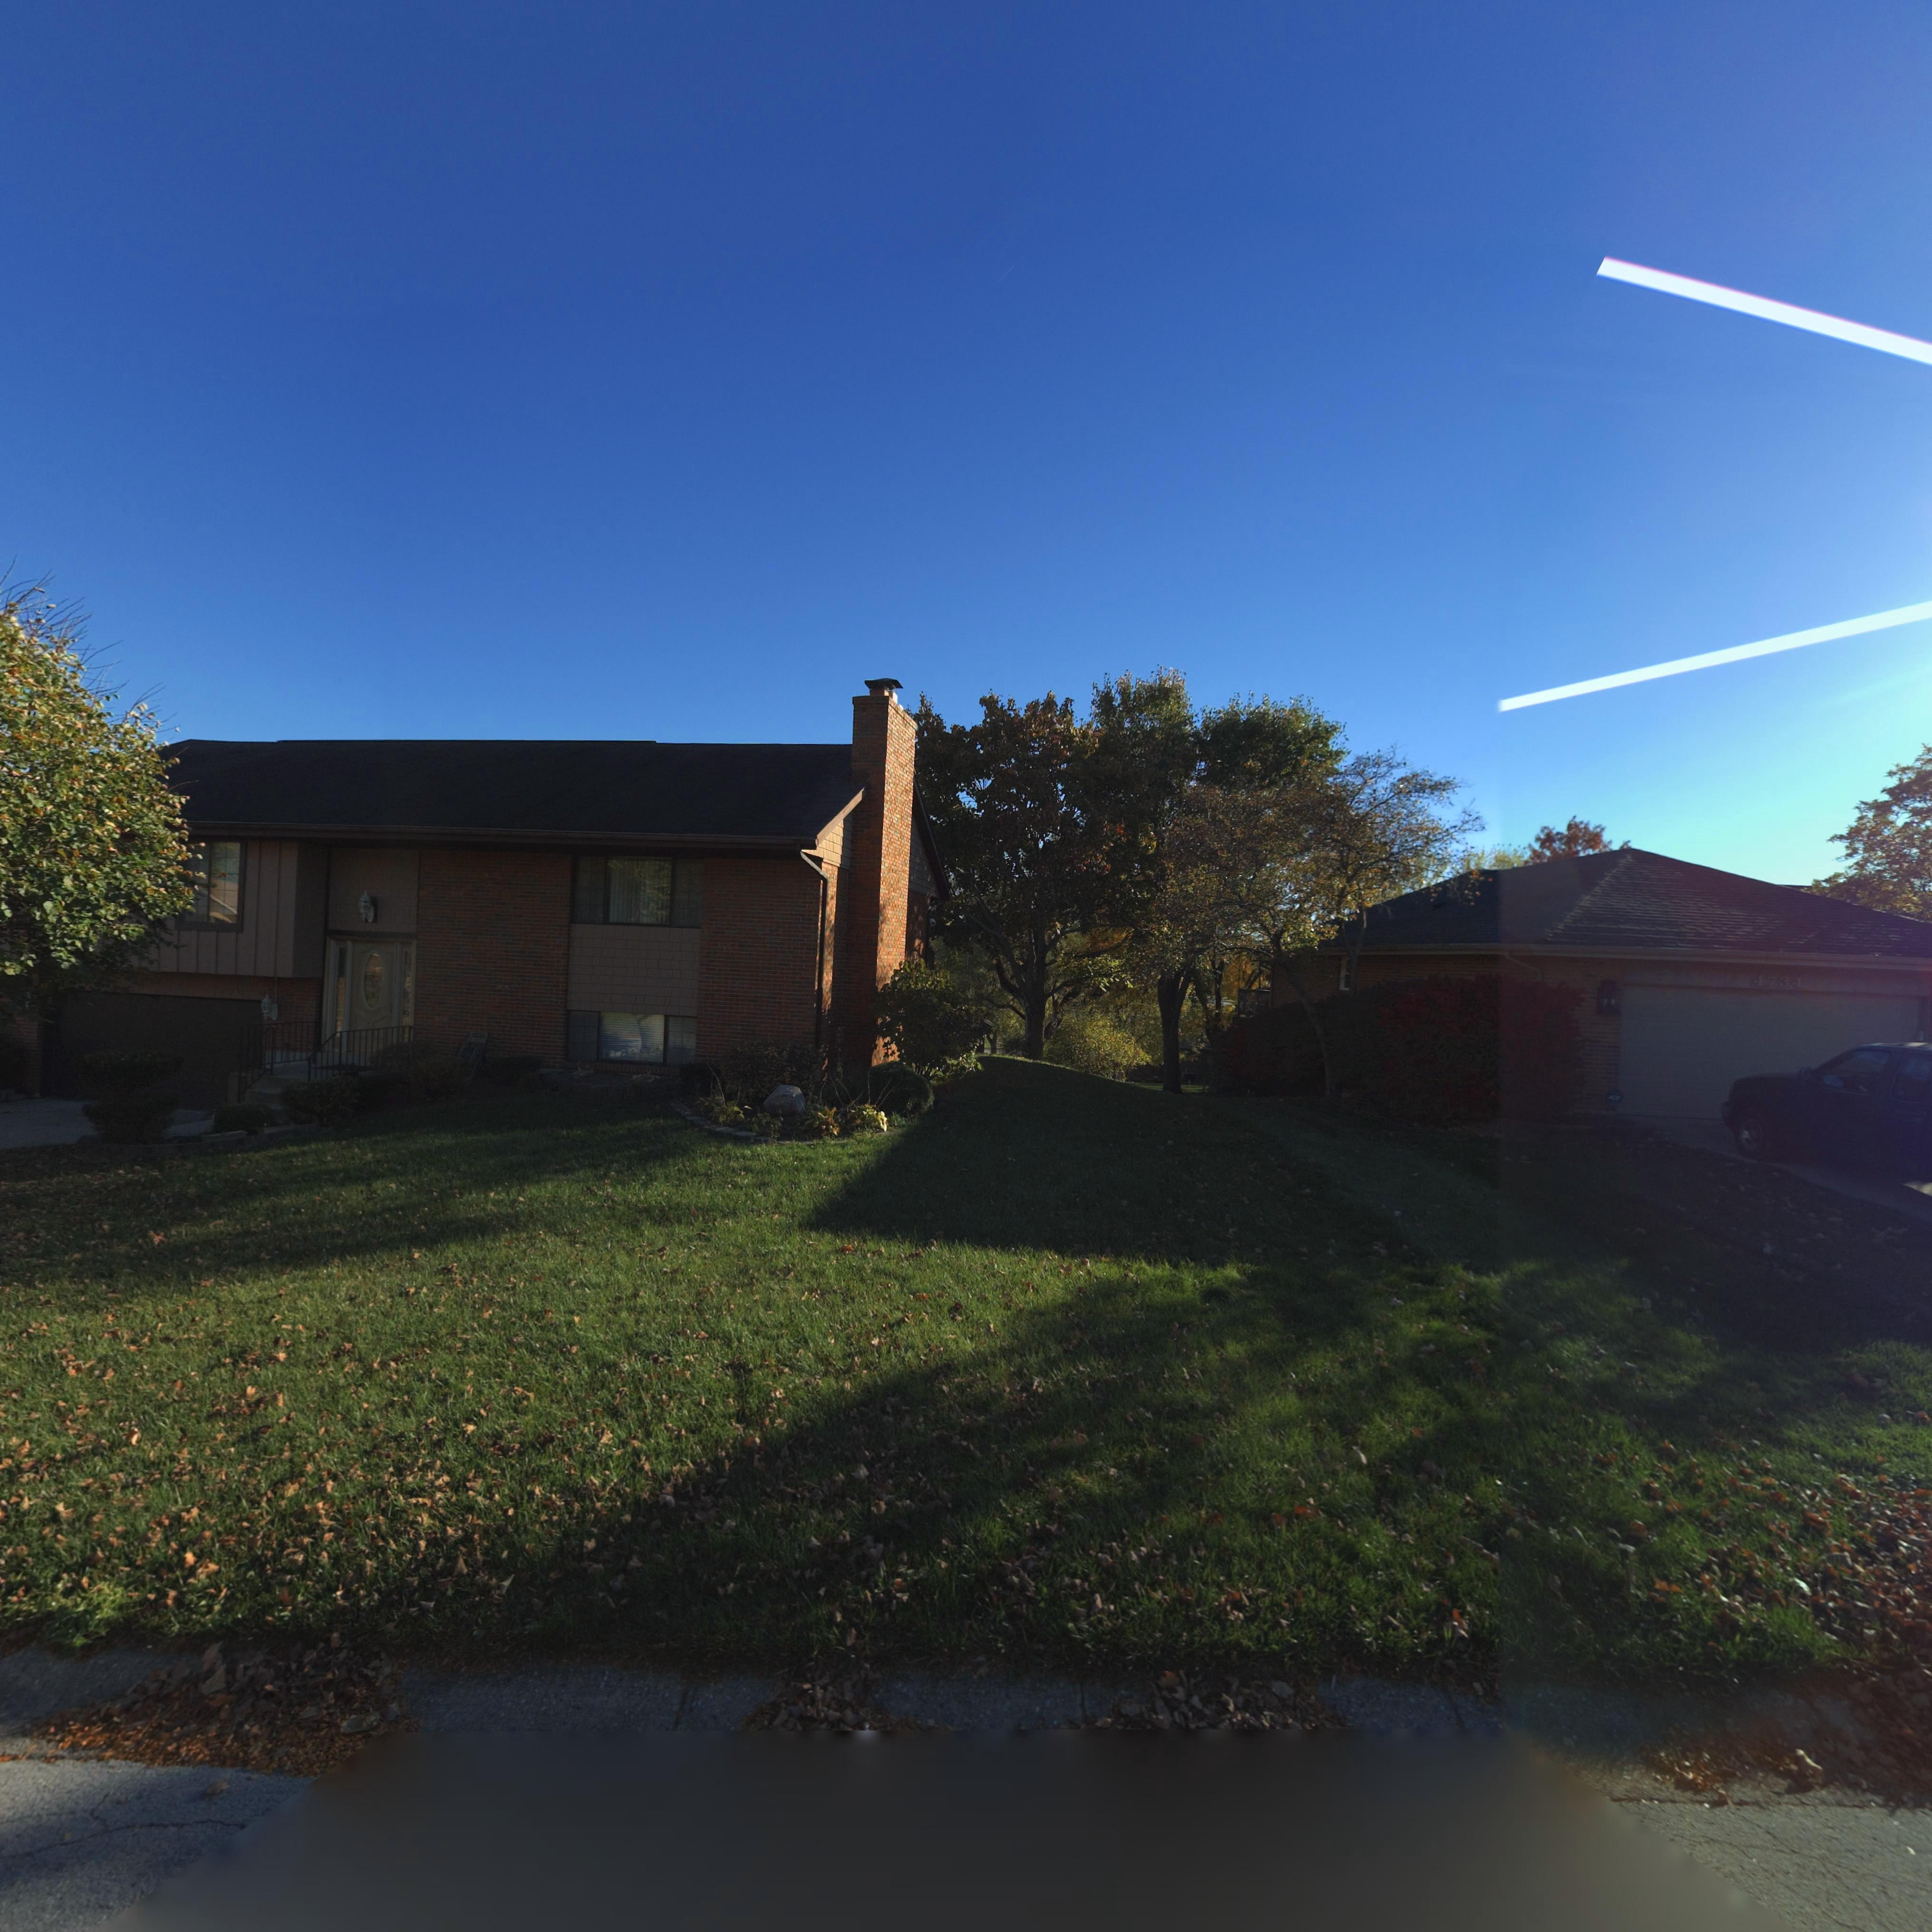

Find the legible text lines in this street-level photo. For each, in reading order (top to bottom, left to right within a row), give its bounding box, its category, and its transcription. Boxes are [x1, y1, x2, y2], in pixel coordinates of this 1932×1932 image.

[1751, 973, 1804, 989] StreetNumber: 4734